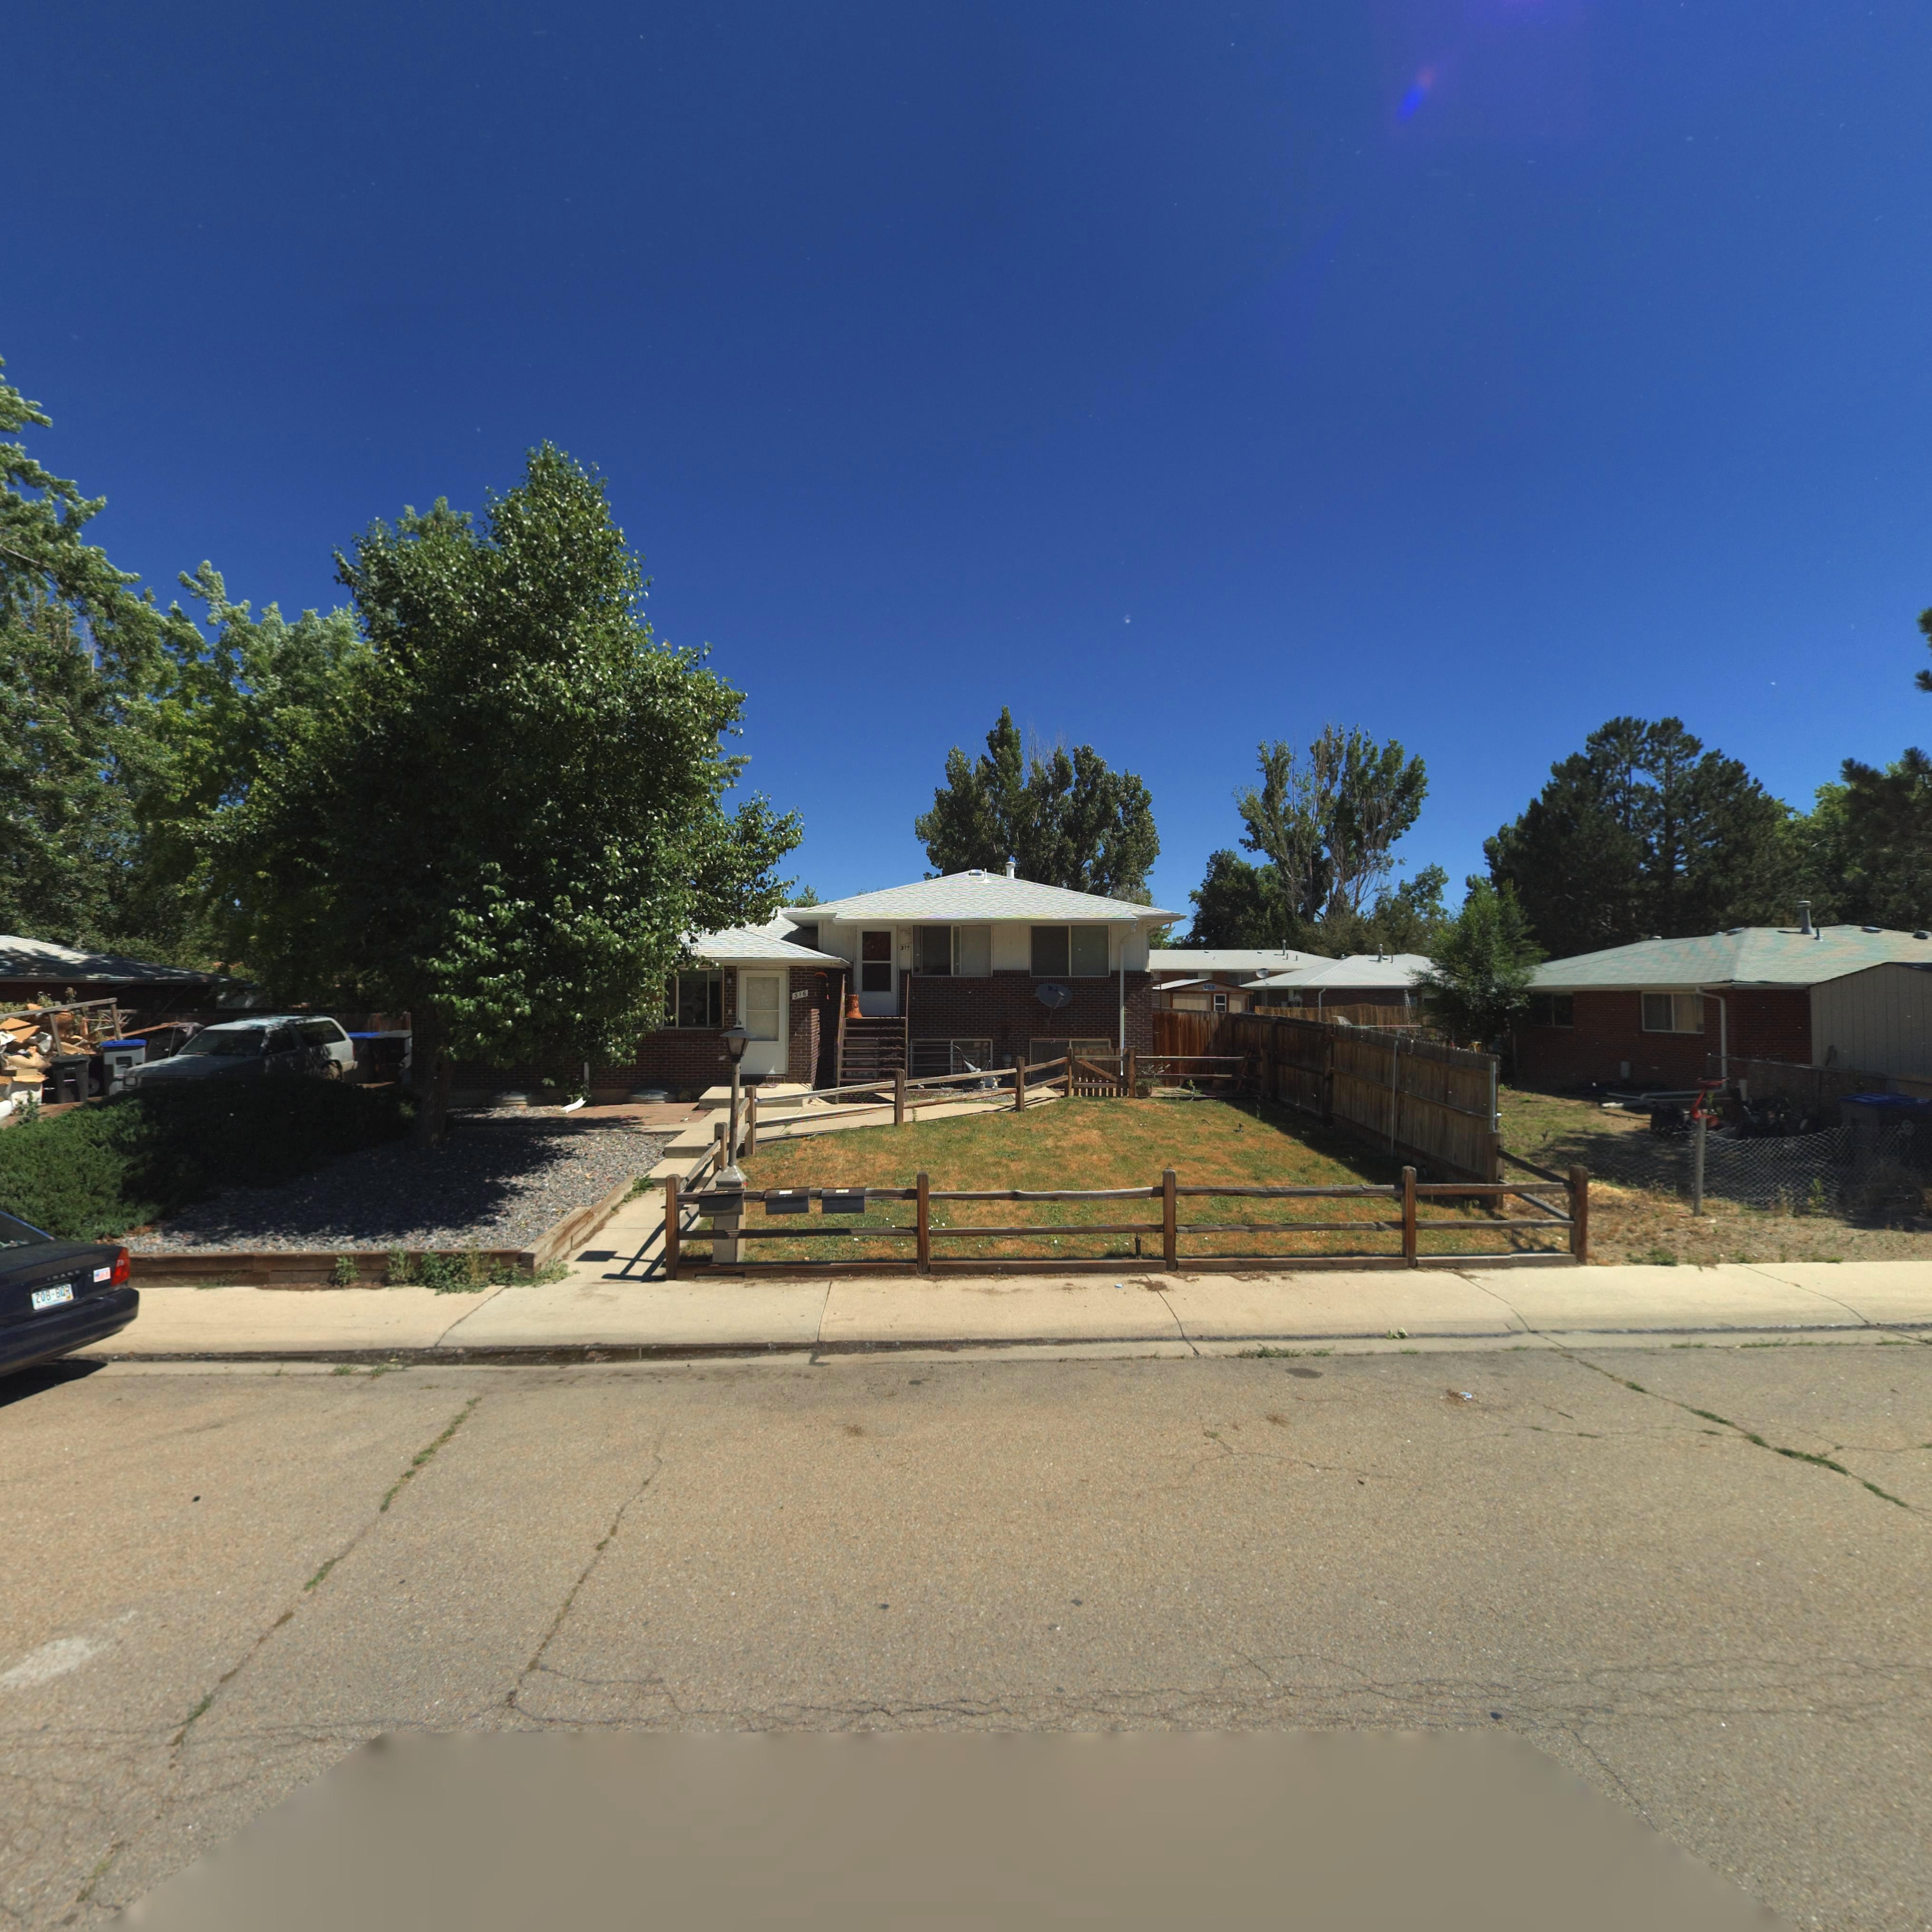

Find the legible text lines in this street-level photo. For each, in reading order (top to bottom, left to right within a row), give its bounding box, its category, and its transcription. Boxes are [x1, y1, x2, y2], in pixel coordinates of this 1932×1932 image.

[900, 944, 910, 950] StreetNumber: 314
[793, 990, 806, 999] StreetNumber: 316